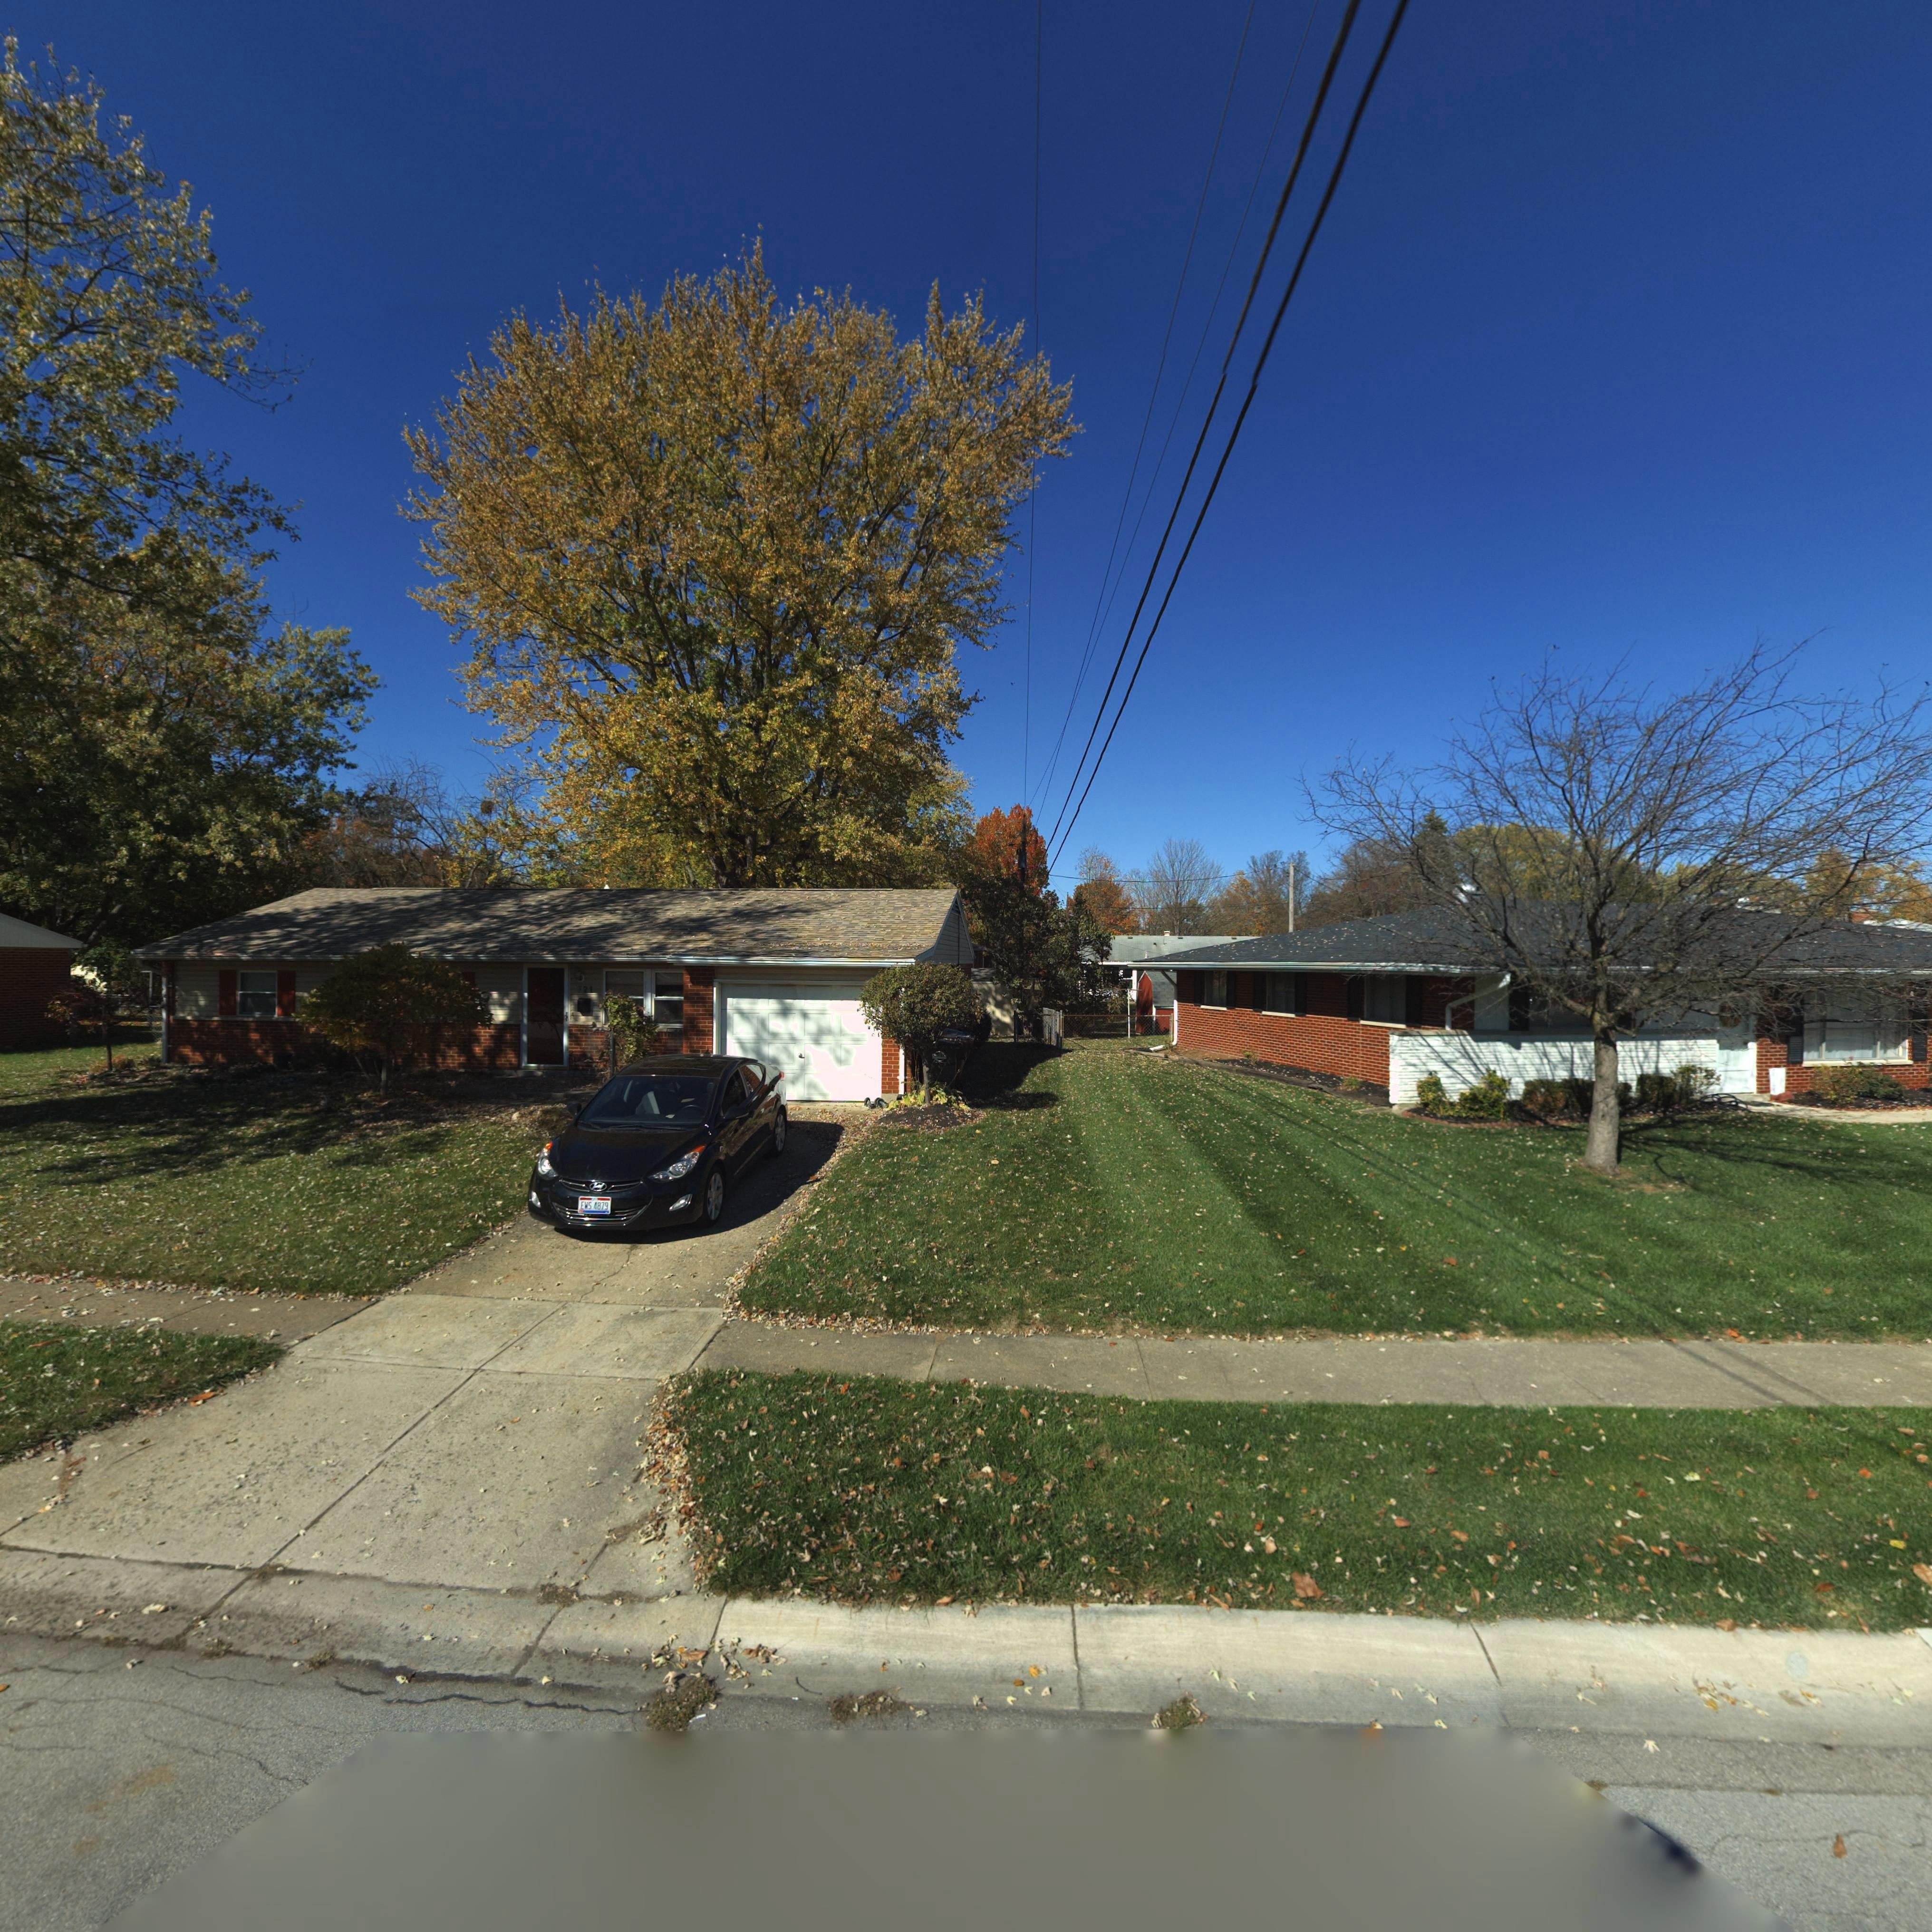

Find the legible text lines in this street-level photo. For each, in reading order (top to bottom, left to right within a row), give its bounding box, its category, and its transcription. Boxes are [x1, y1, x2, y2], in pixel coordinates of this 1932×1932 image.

[577, 985, 593, 993] StreetNumber: 721